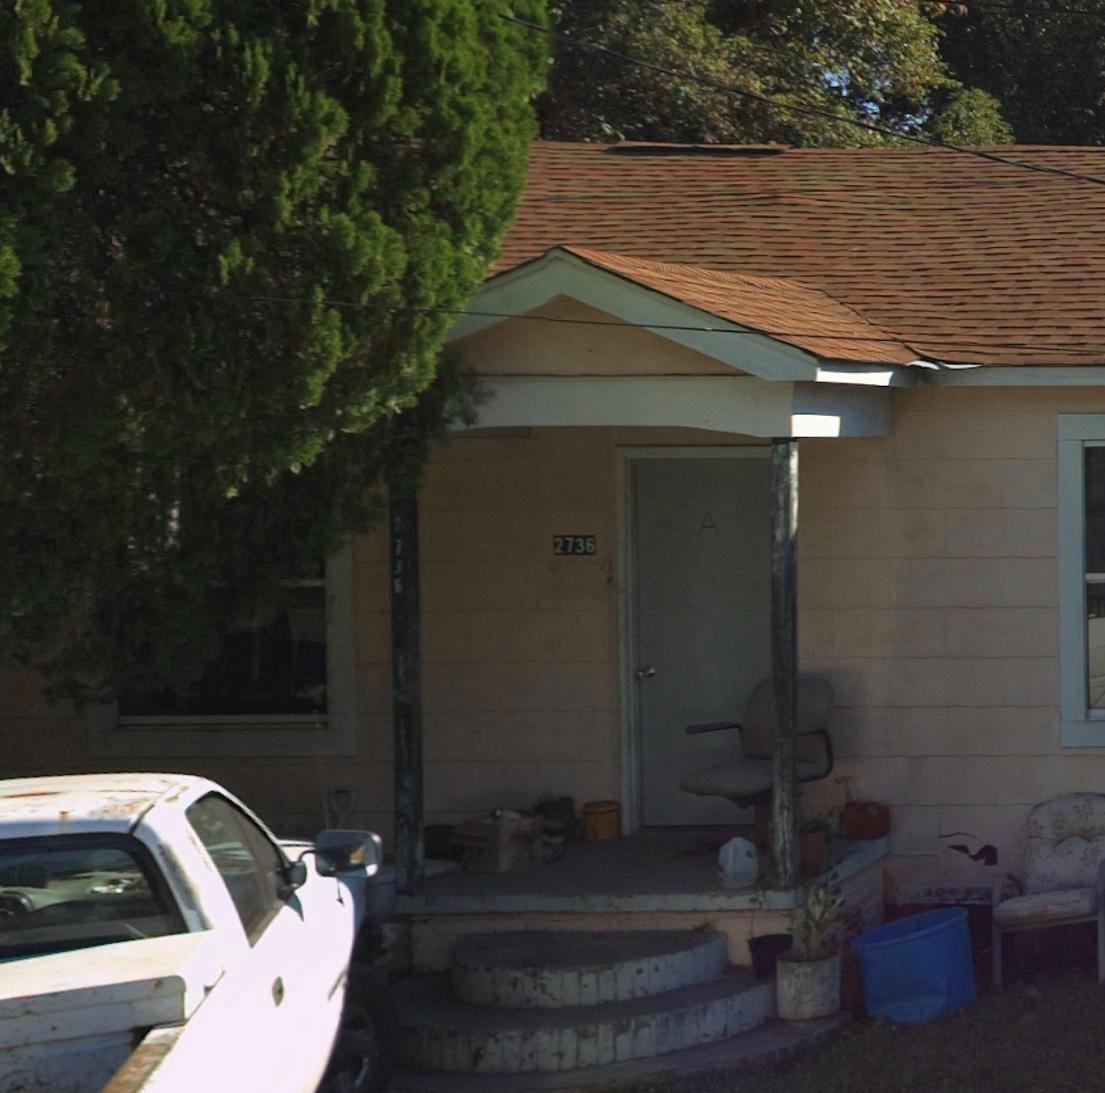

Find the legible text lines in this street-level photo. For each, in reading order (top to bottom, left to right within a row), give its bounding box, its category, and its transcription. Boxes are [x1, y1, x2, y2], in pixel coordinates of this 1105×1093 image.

[692, 507, 724, 538] StreetNumber: A
[391, 514, 405, 596] StreetNumber: 2736
[551, 535, 598, 555] StreetNumber: 2736